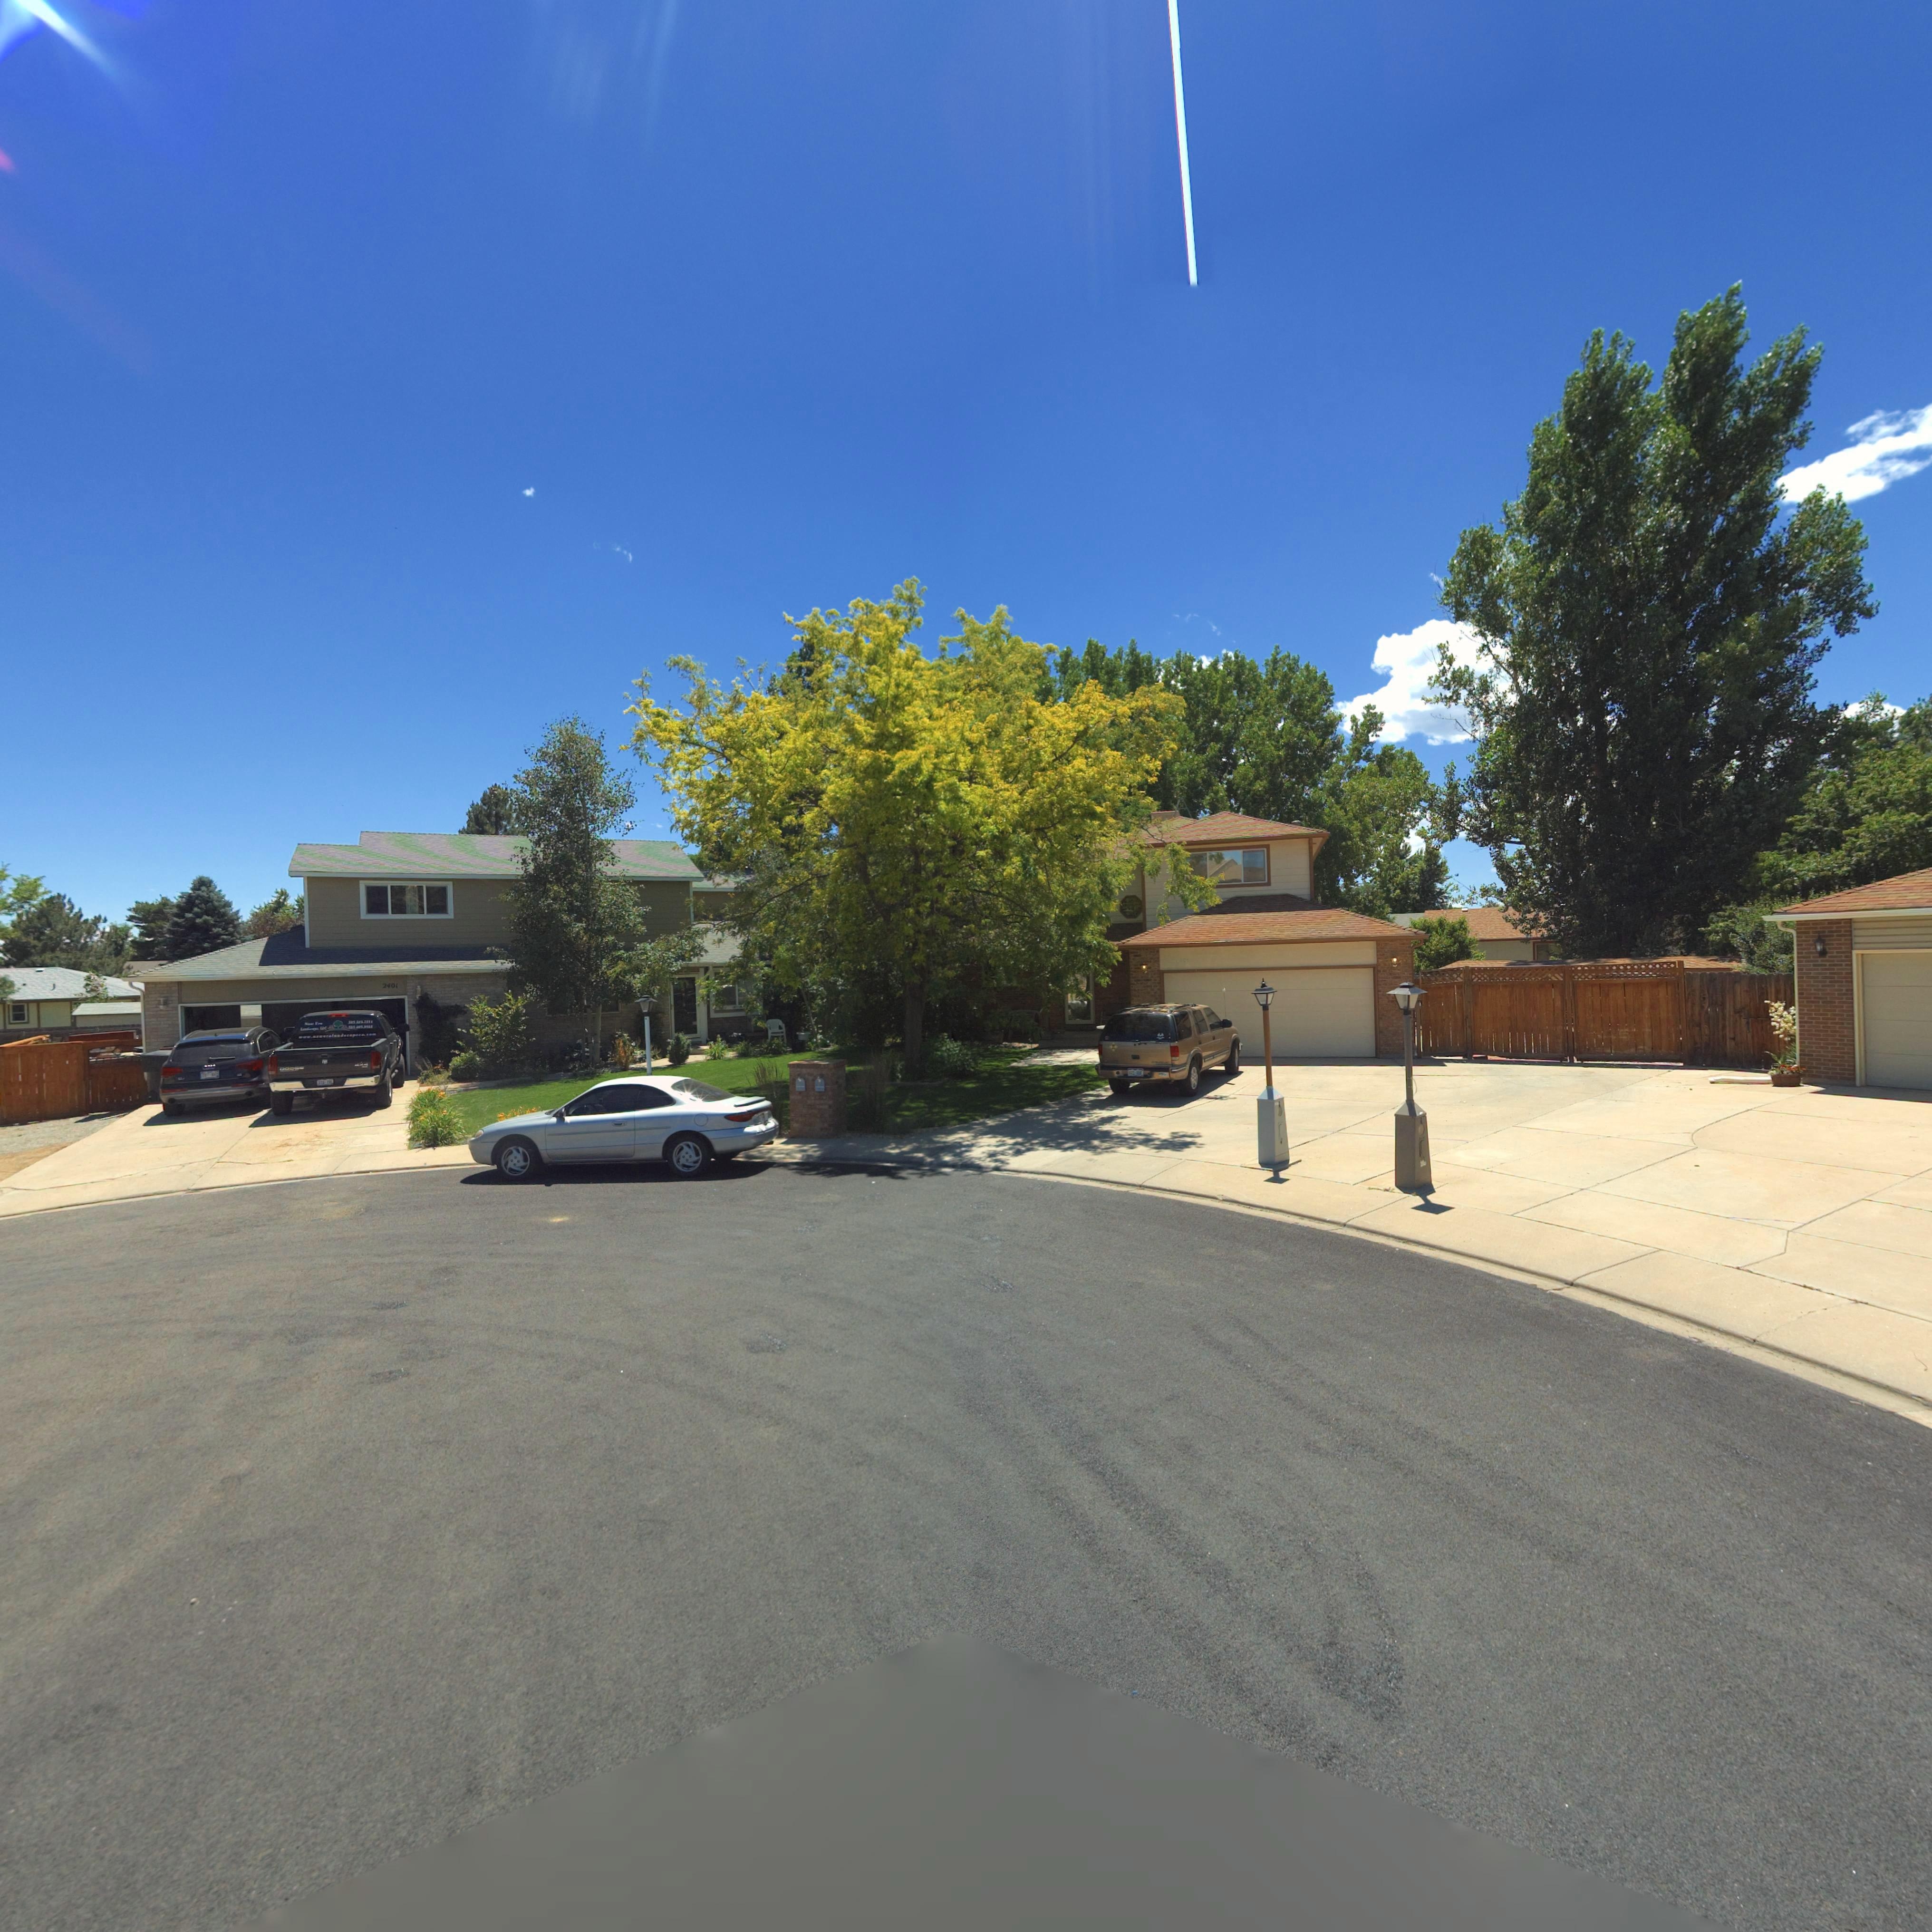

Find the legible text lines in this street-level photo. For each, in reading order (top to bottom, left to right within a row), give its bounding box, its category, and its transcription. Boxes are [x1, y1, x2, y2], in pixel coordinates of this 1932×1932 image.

[382, 982, 398, 988] StreetNumber: 2401